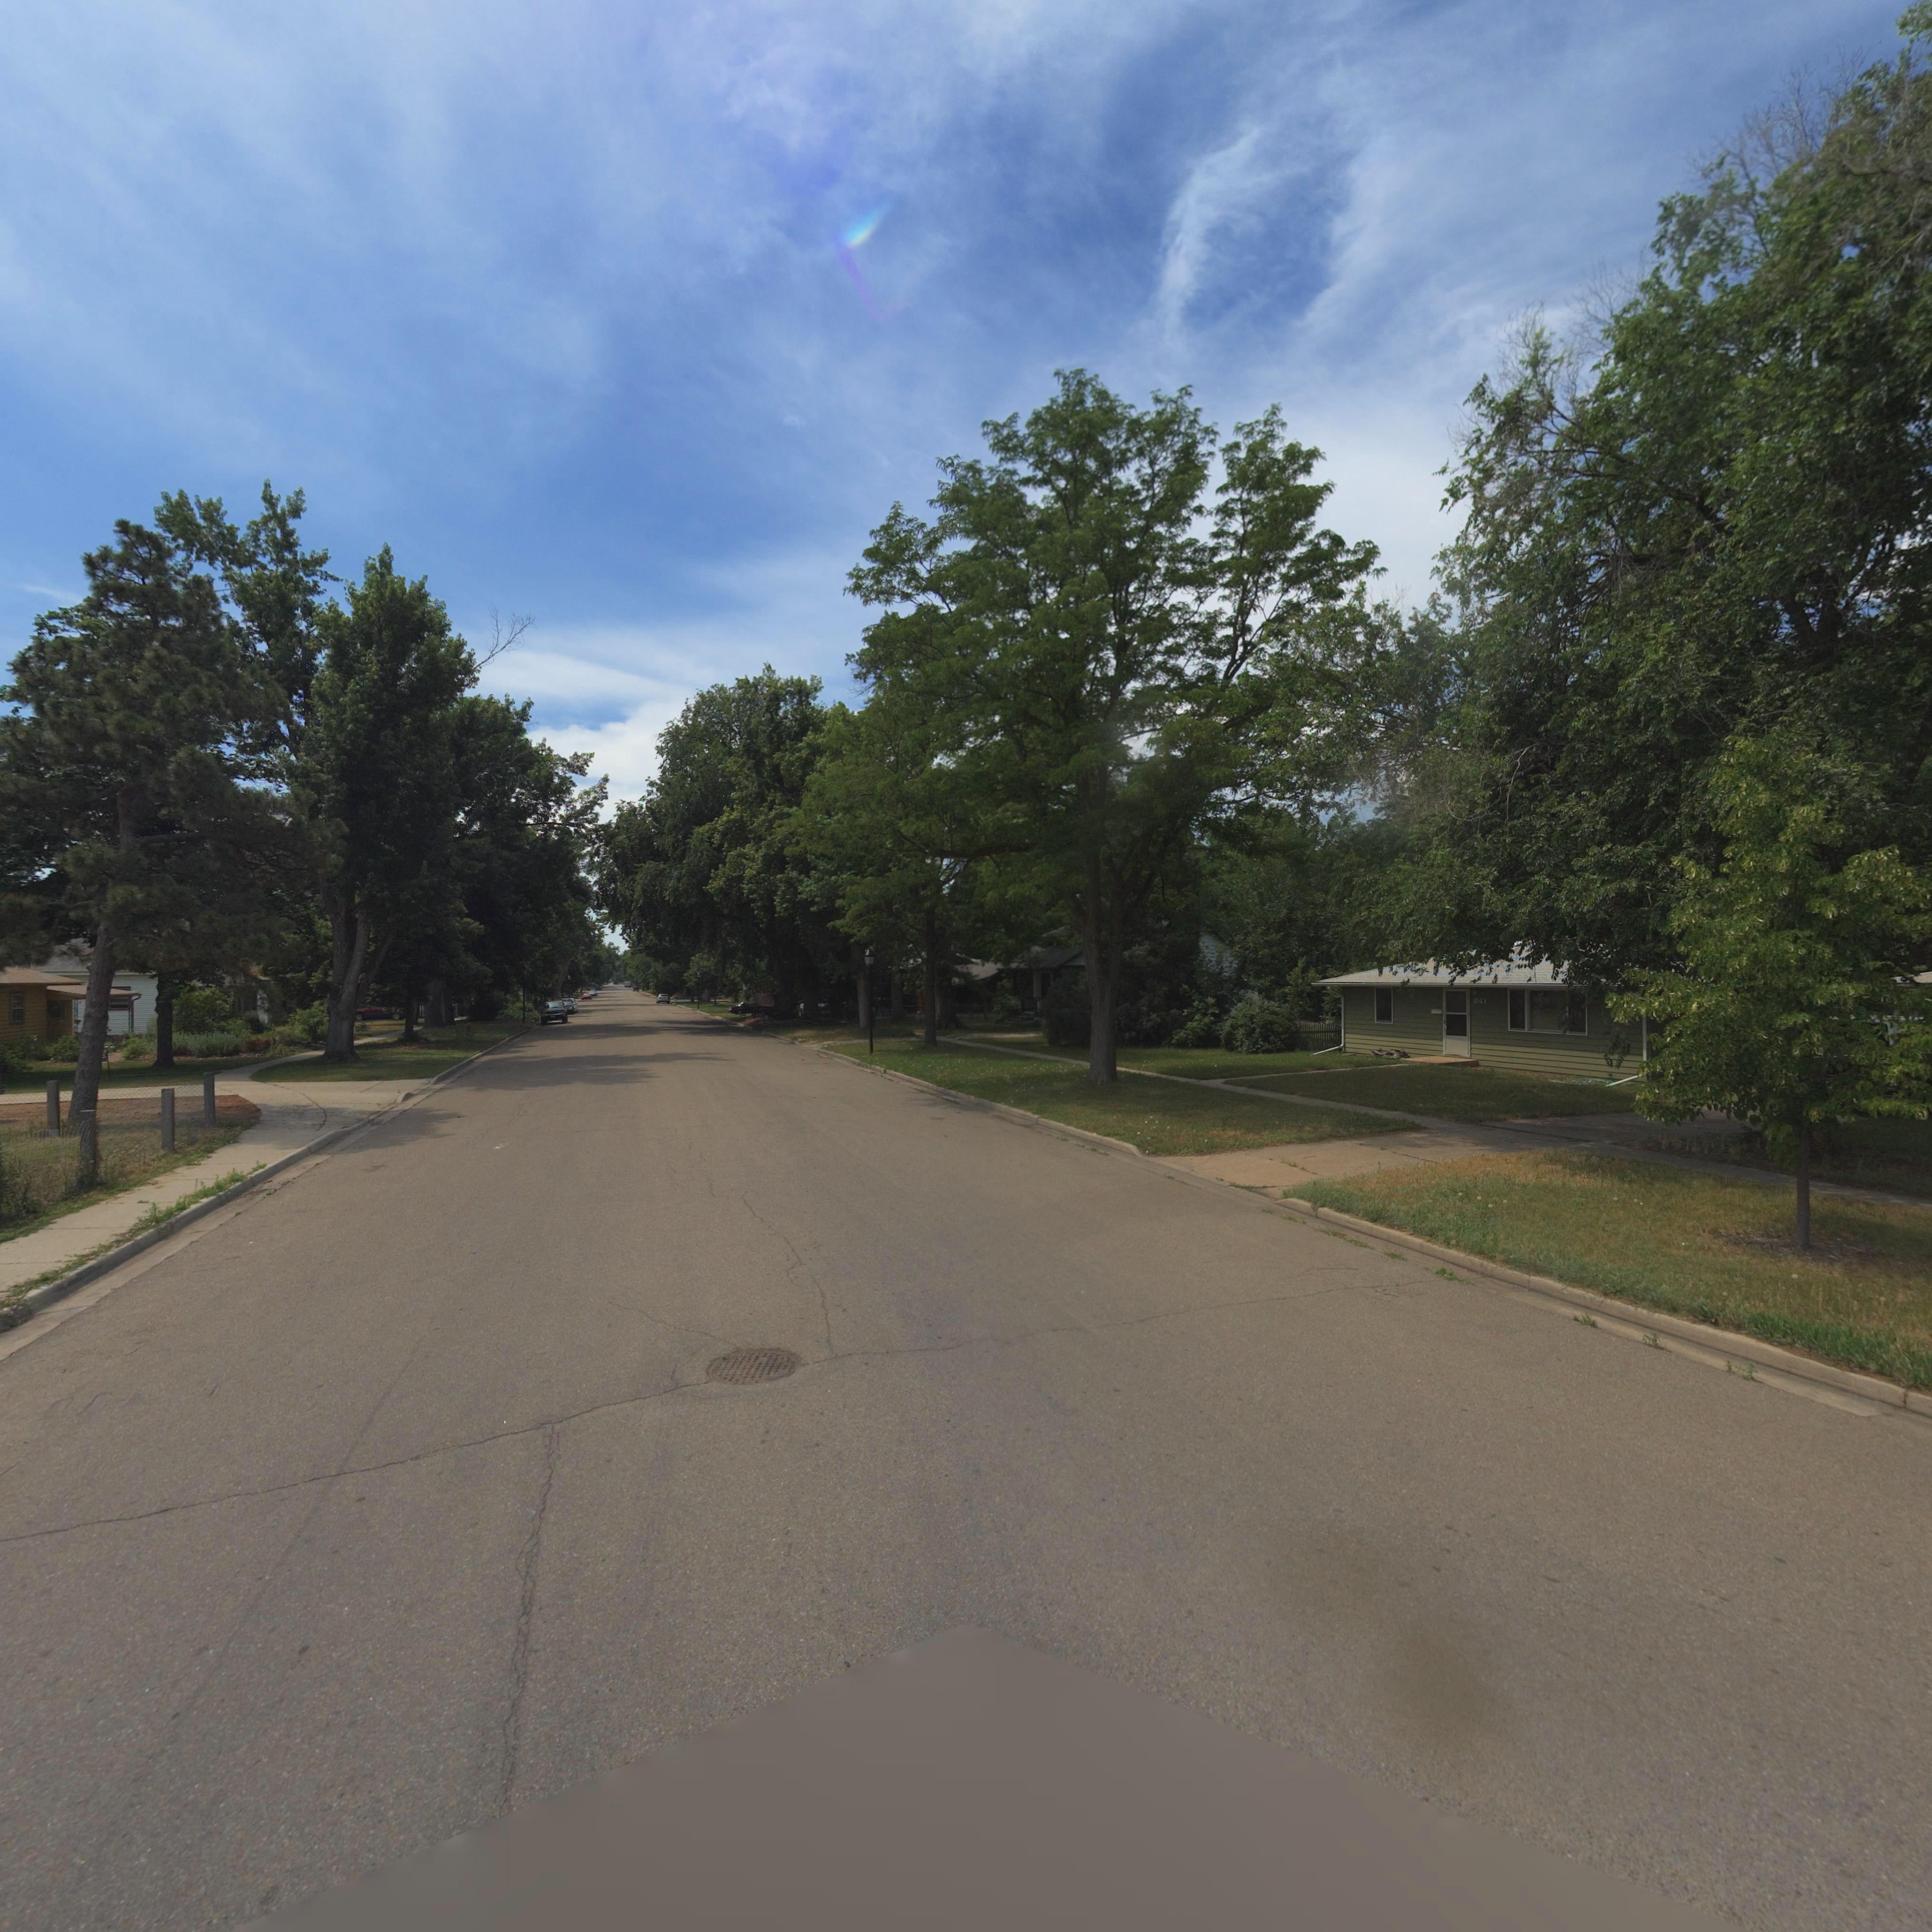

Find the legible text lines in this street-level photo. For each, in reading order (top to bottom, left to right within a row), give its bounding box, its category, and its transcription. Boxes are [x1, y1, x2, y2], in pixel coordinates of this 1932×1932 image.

[1473, 997, 1487, 1004] StreetNumber: 841